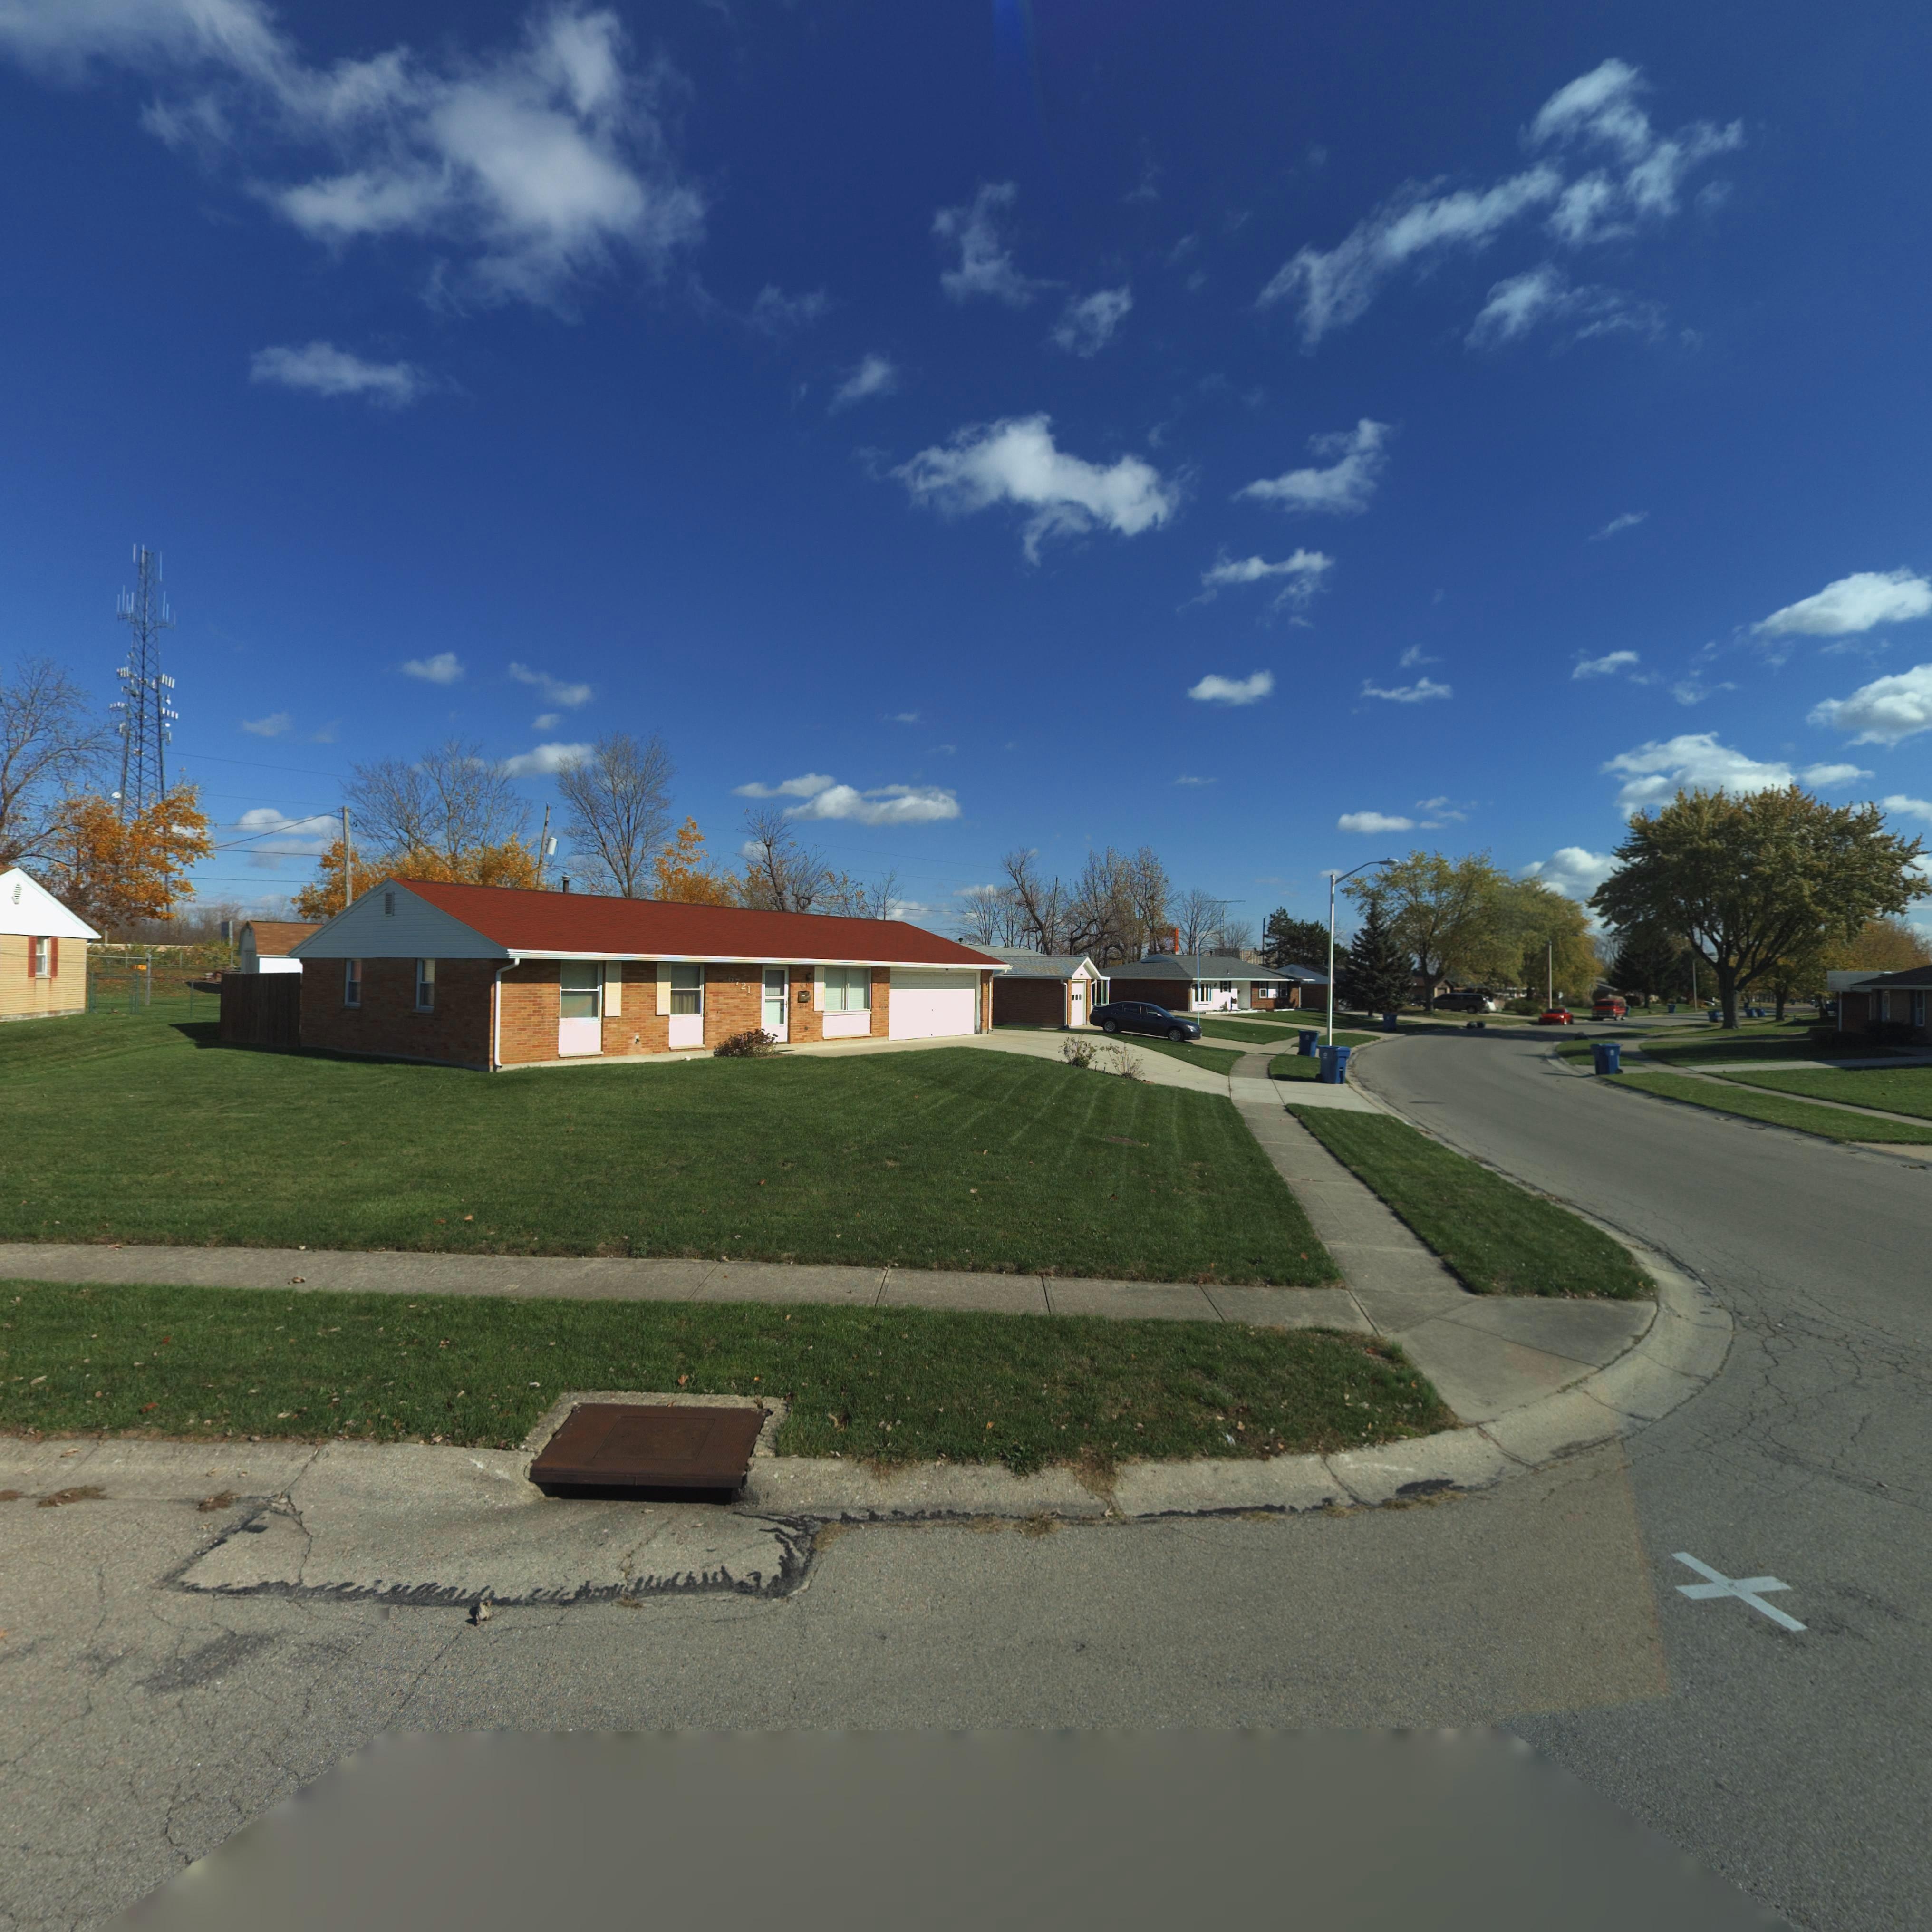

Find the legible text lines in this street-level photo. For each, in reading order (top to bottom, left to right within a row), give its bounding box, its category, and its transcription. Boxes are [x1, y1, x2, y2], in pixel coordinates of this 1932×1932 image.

[727, 975, 750, 994] StreetNumber: 6721